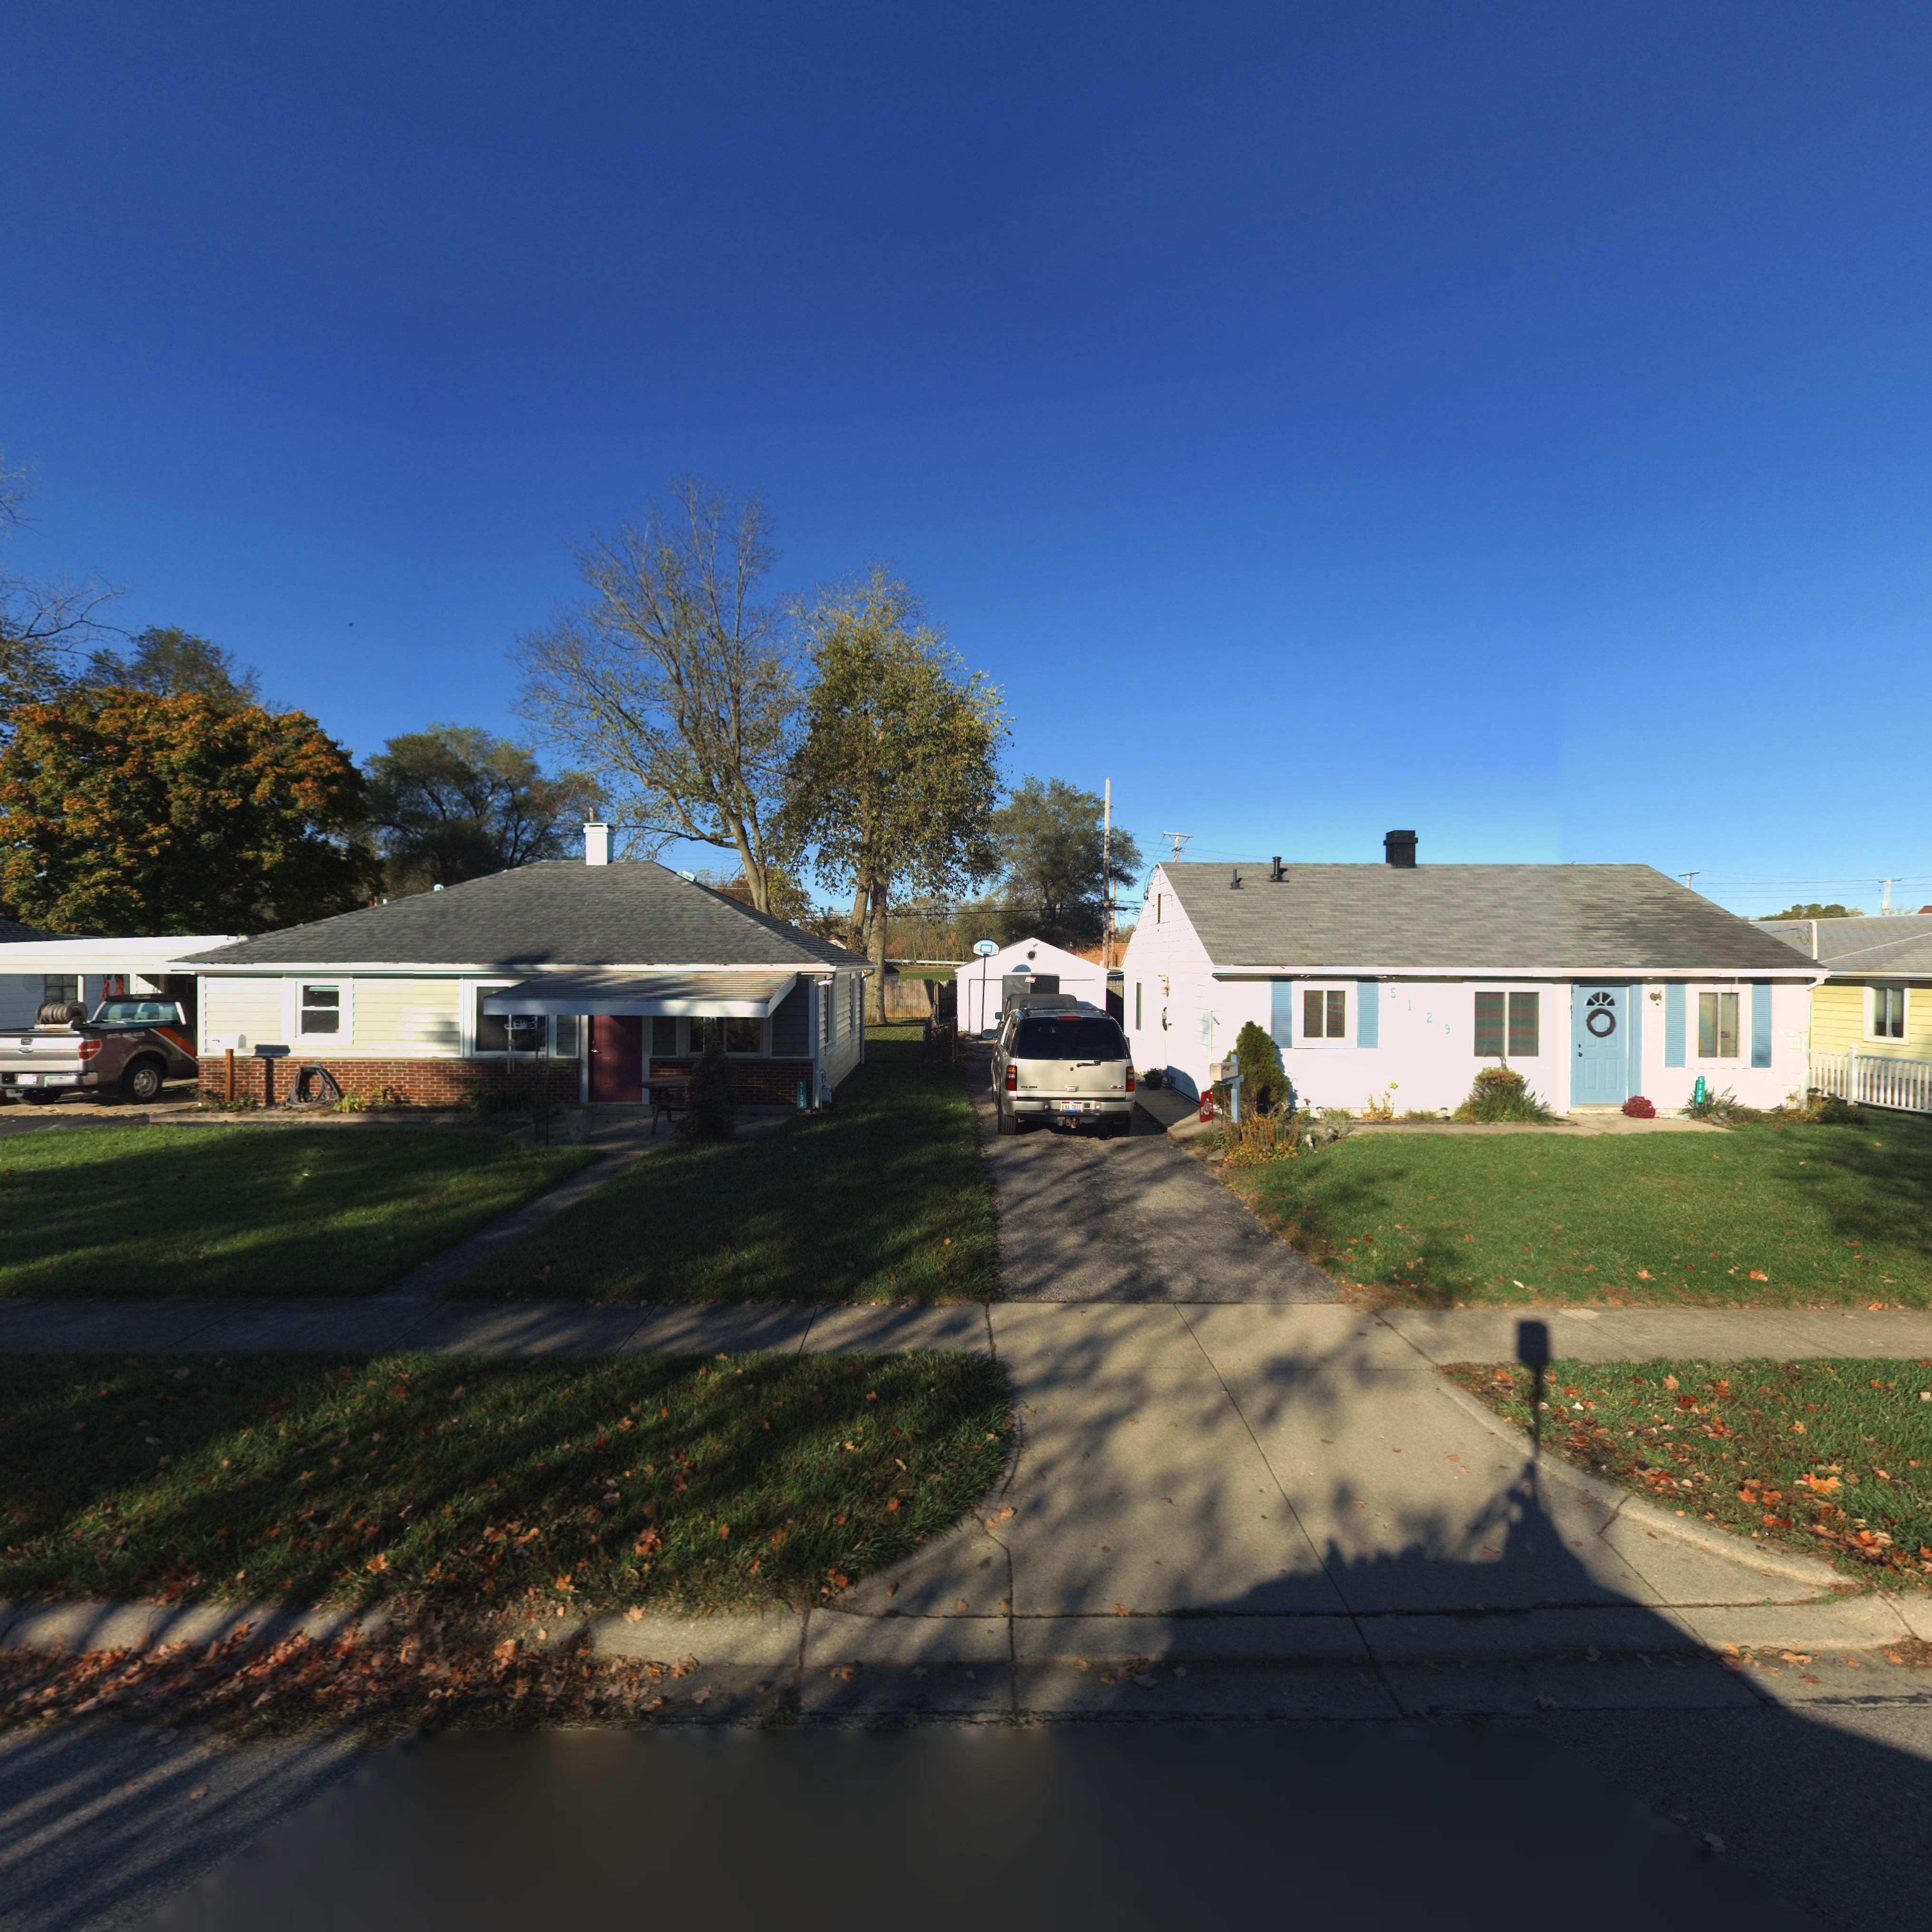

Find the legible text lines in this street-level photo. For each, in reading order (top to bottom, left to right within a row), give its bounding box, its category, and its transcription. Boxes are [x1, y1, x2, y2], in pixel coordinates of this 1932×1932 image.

[1391, 987, 1450, 1035] StreetNumber: 5129
[799, 1081, 804, 1107] StreetNumber: 5133
[1697, 1077, 1703, 1102] StreetNumber: 5129